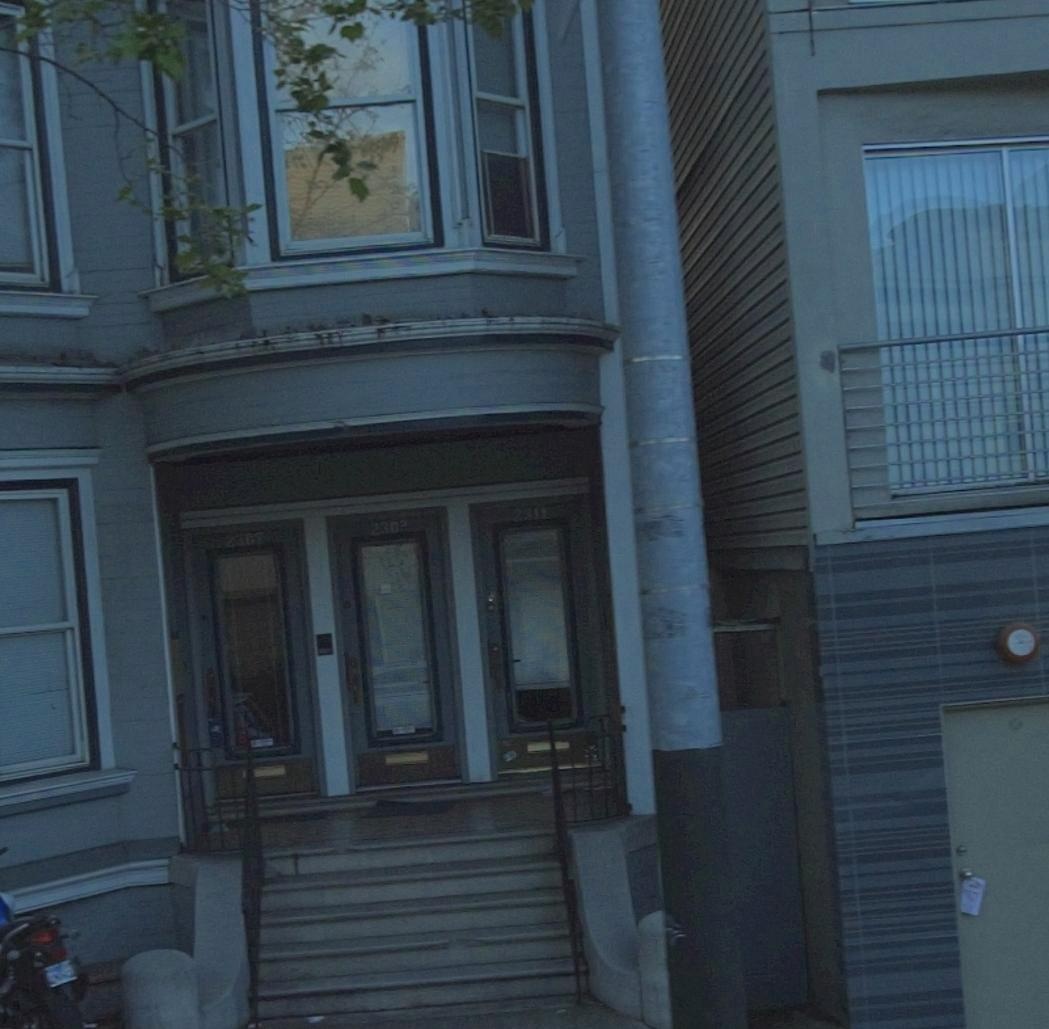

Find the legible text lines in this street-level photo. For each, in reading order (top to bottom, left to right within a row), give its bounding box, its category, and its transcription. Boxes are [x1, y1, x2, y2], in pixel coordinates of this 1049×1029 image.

[509, 504, 553, 524] StreetNumber: 231*
[222, 527, 269, 552] StreetNumber: 230*
[367, 516, 414, 540] StreetNumber: 230*